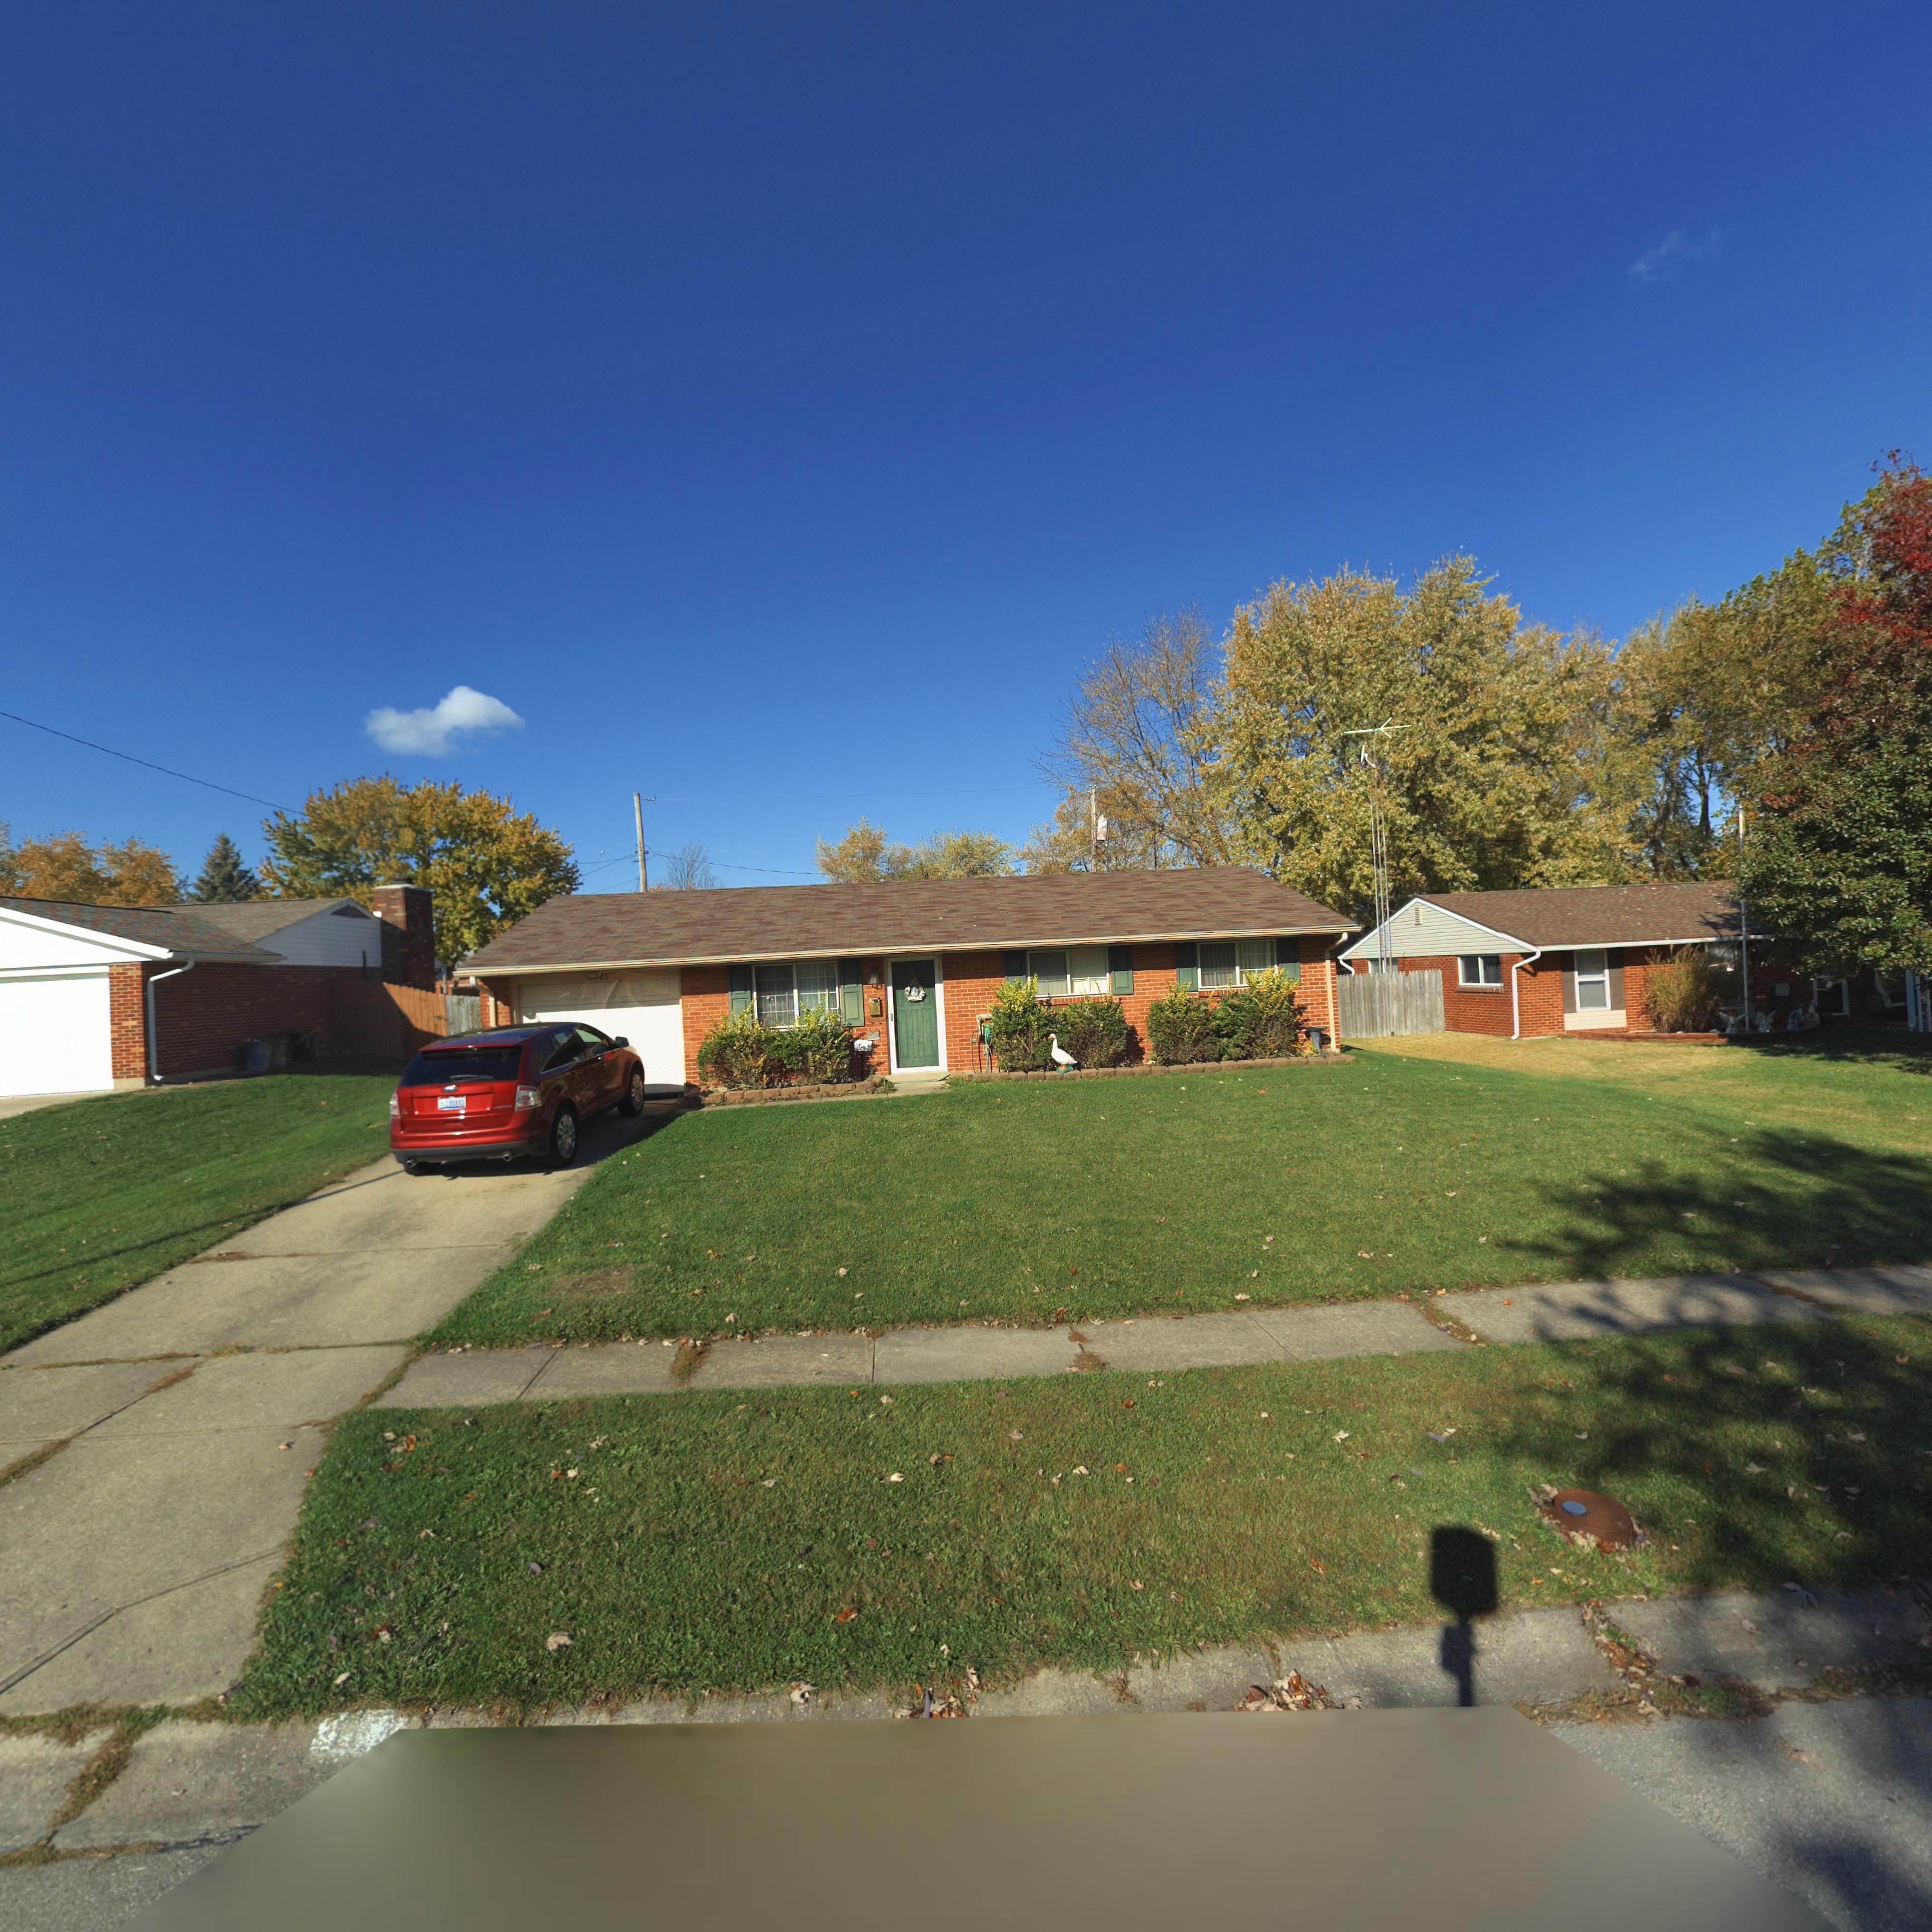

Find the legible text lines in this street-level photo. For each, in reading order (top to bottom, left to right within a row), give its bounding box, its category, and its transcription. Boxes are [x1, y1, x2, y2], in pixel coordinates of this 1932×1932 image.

[604, 972, 609, 981] StreetNumber: 1